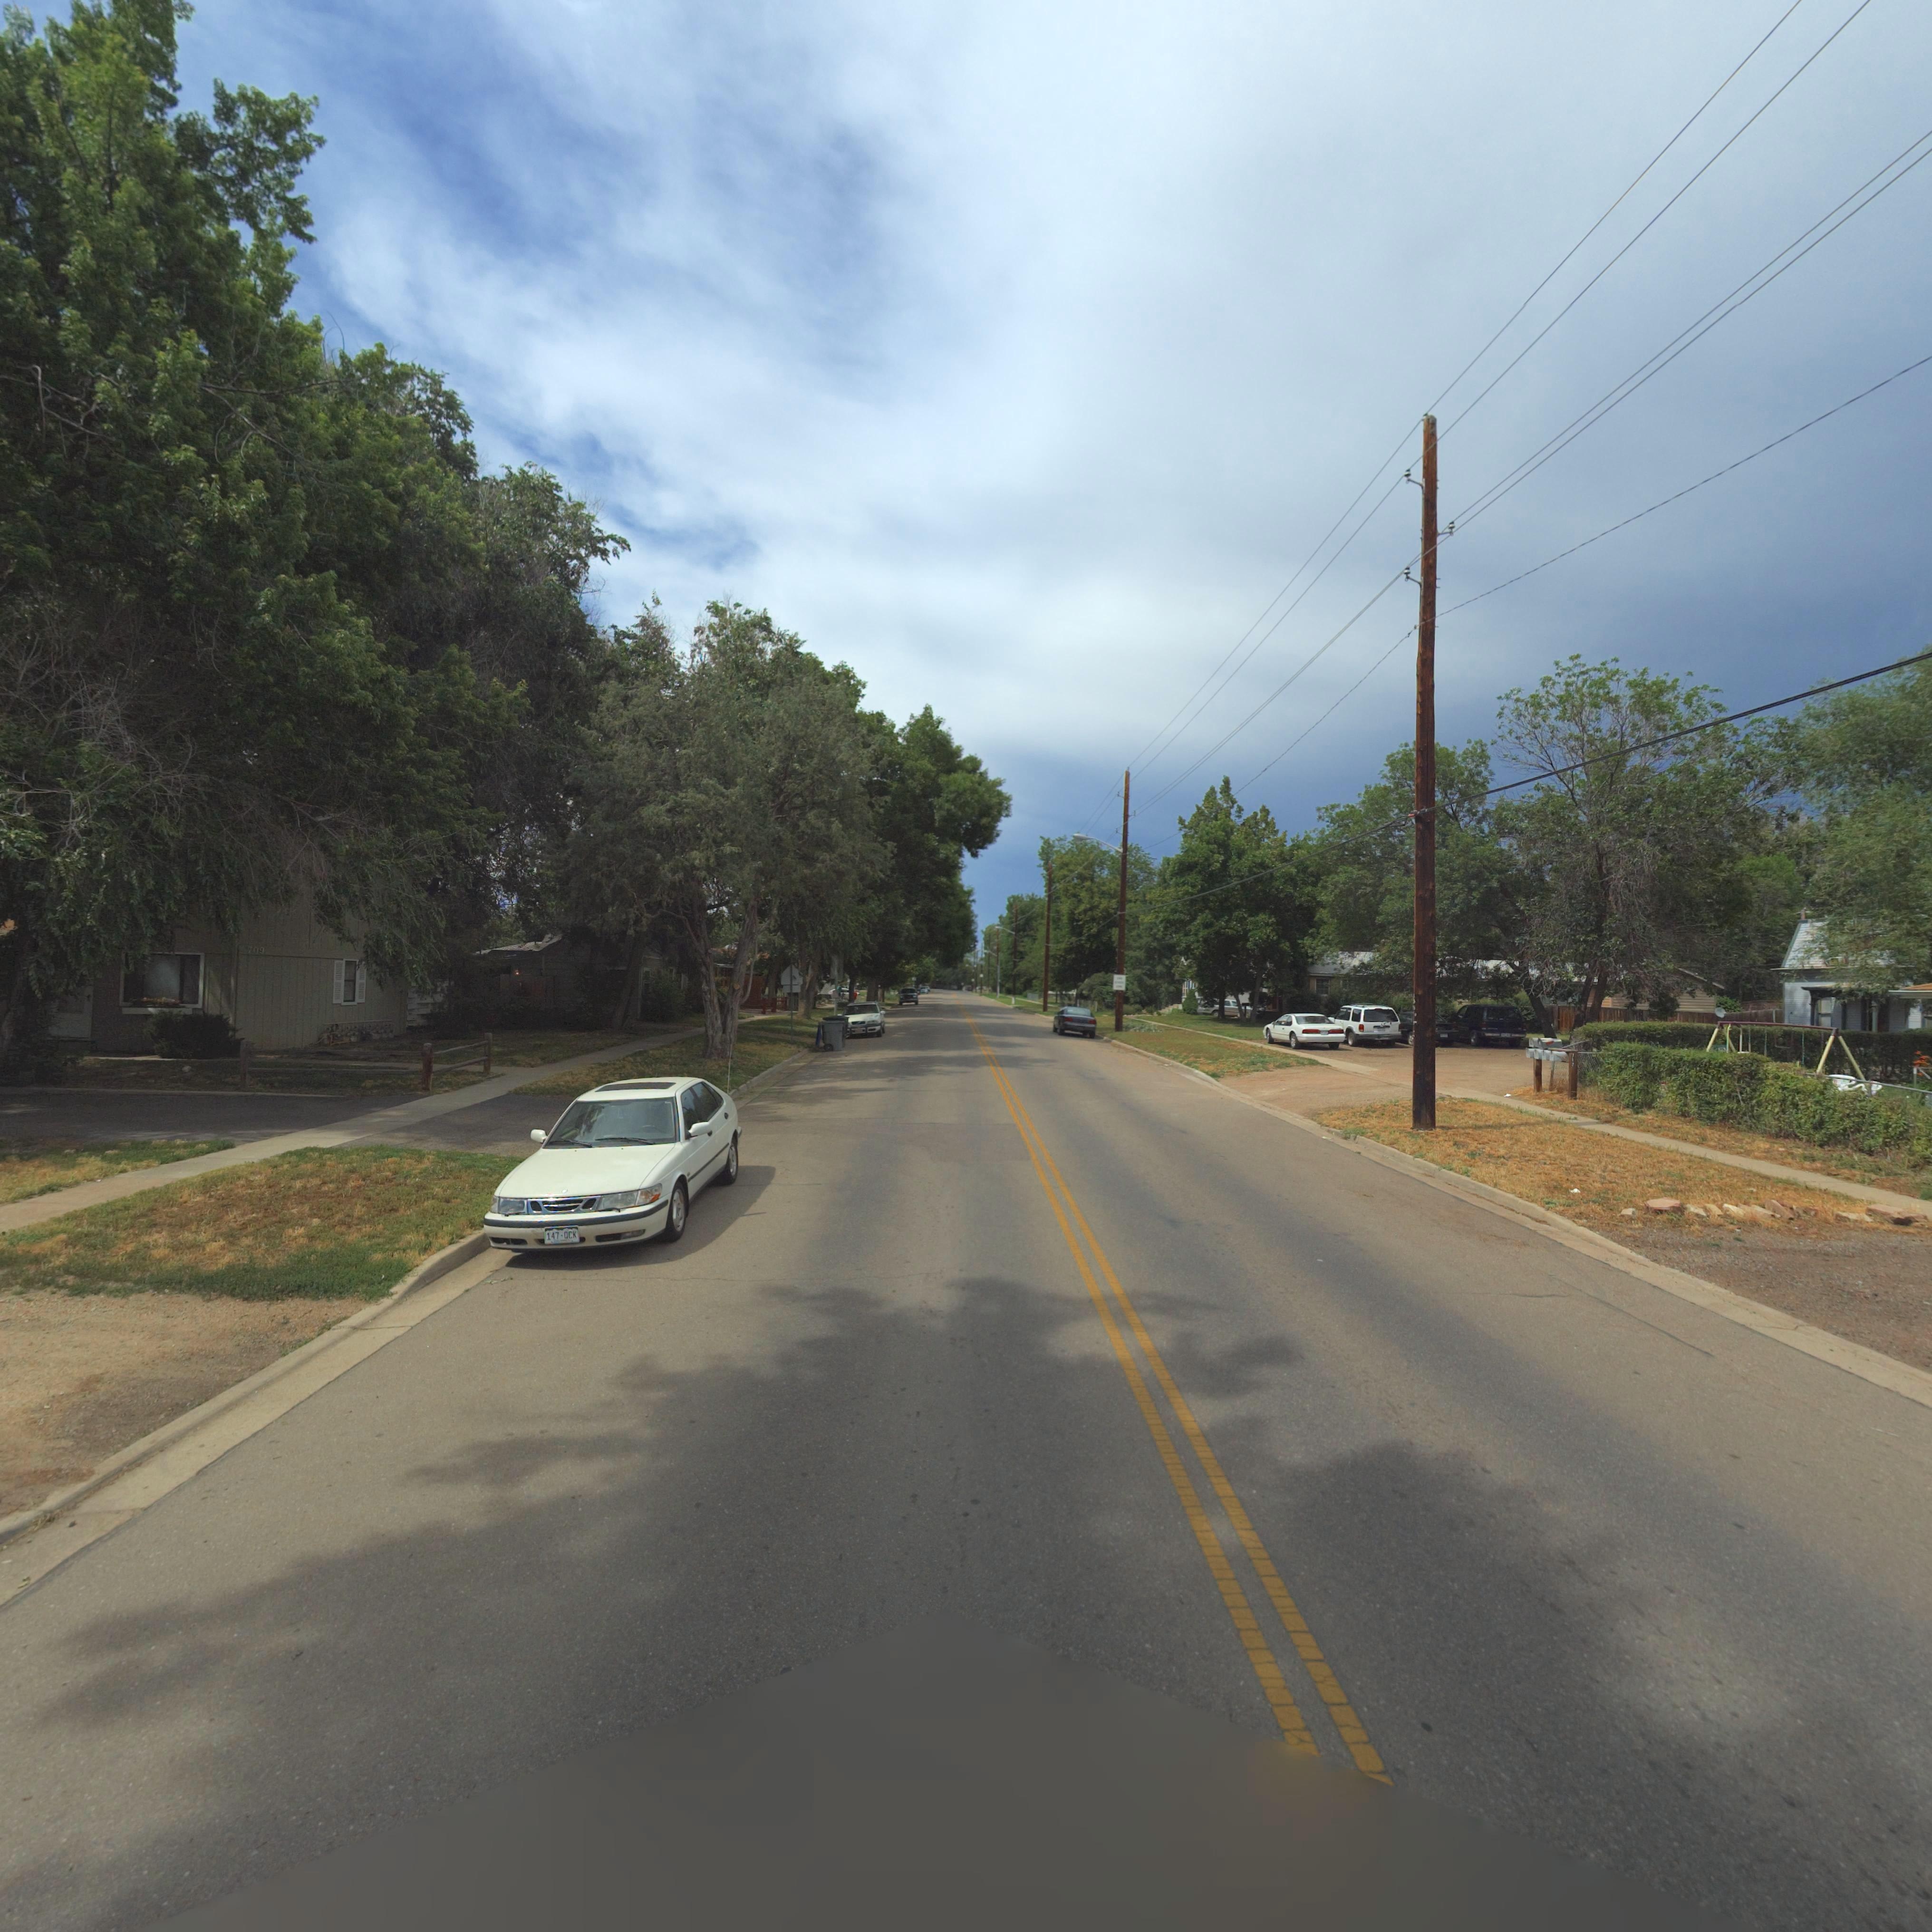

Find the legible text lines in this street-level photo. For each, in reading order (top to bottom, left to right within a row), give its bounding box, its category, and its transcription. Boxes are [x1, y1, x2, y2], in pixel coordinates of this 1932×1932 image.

[247, 945, 264, 955] StreetNumber: 709